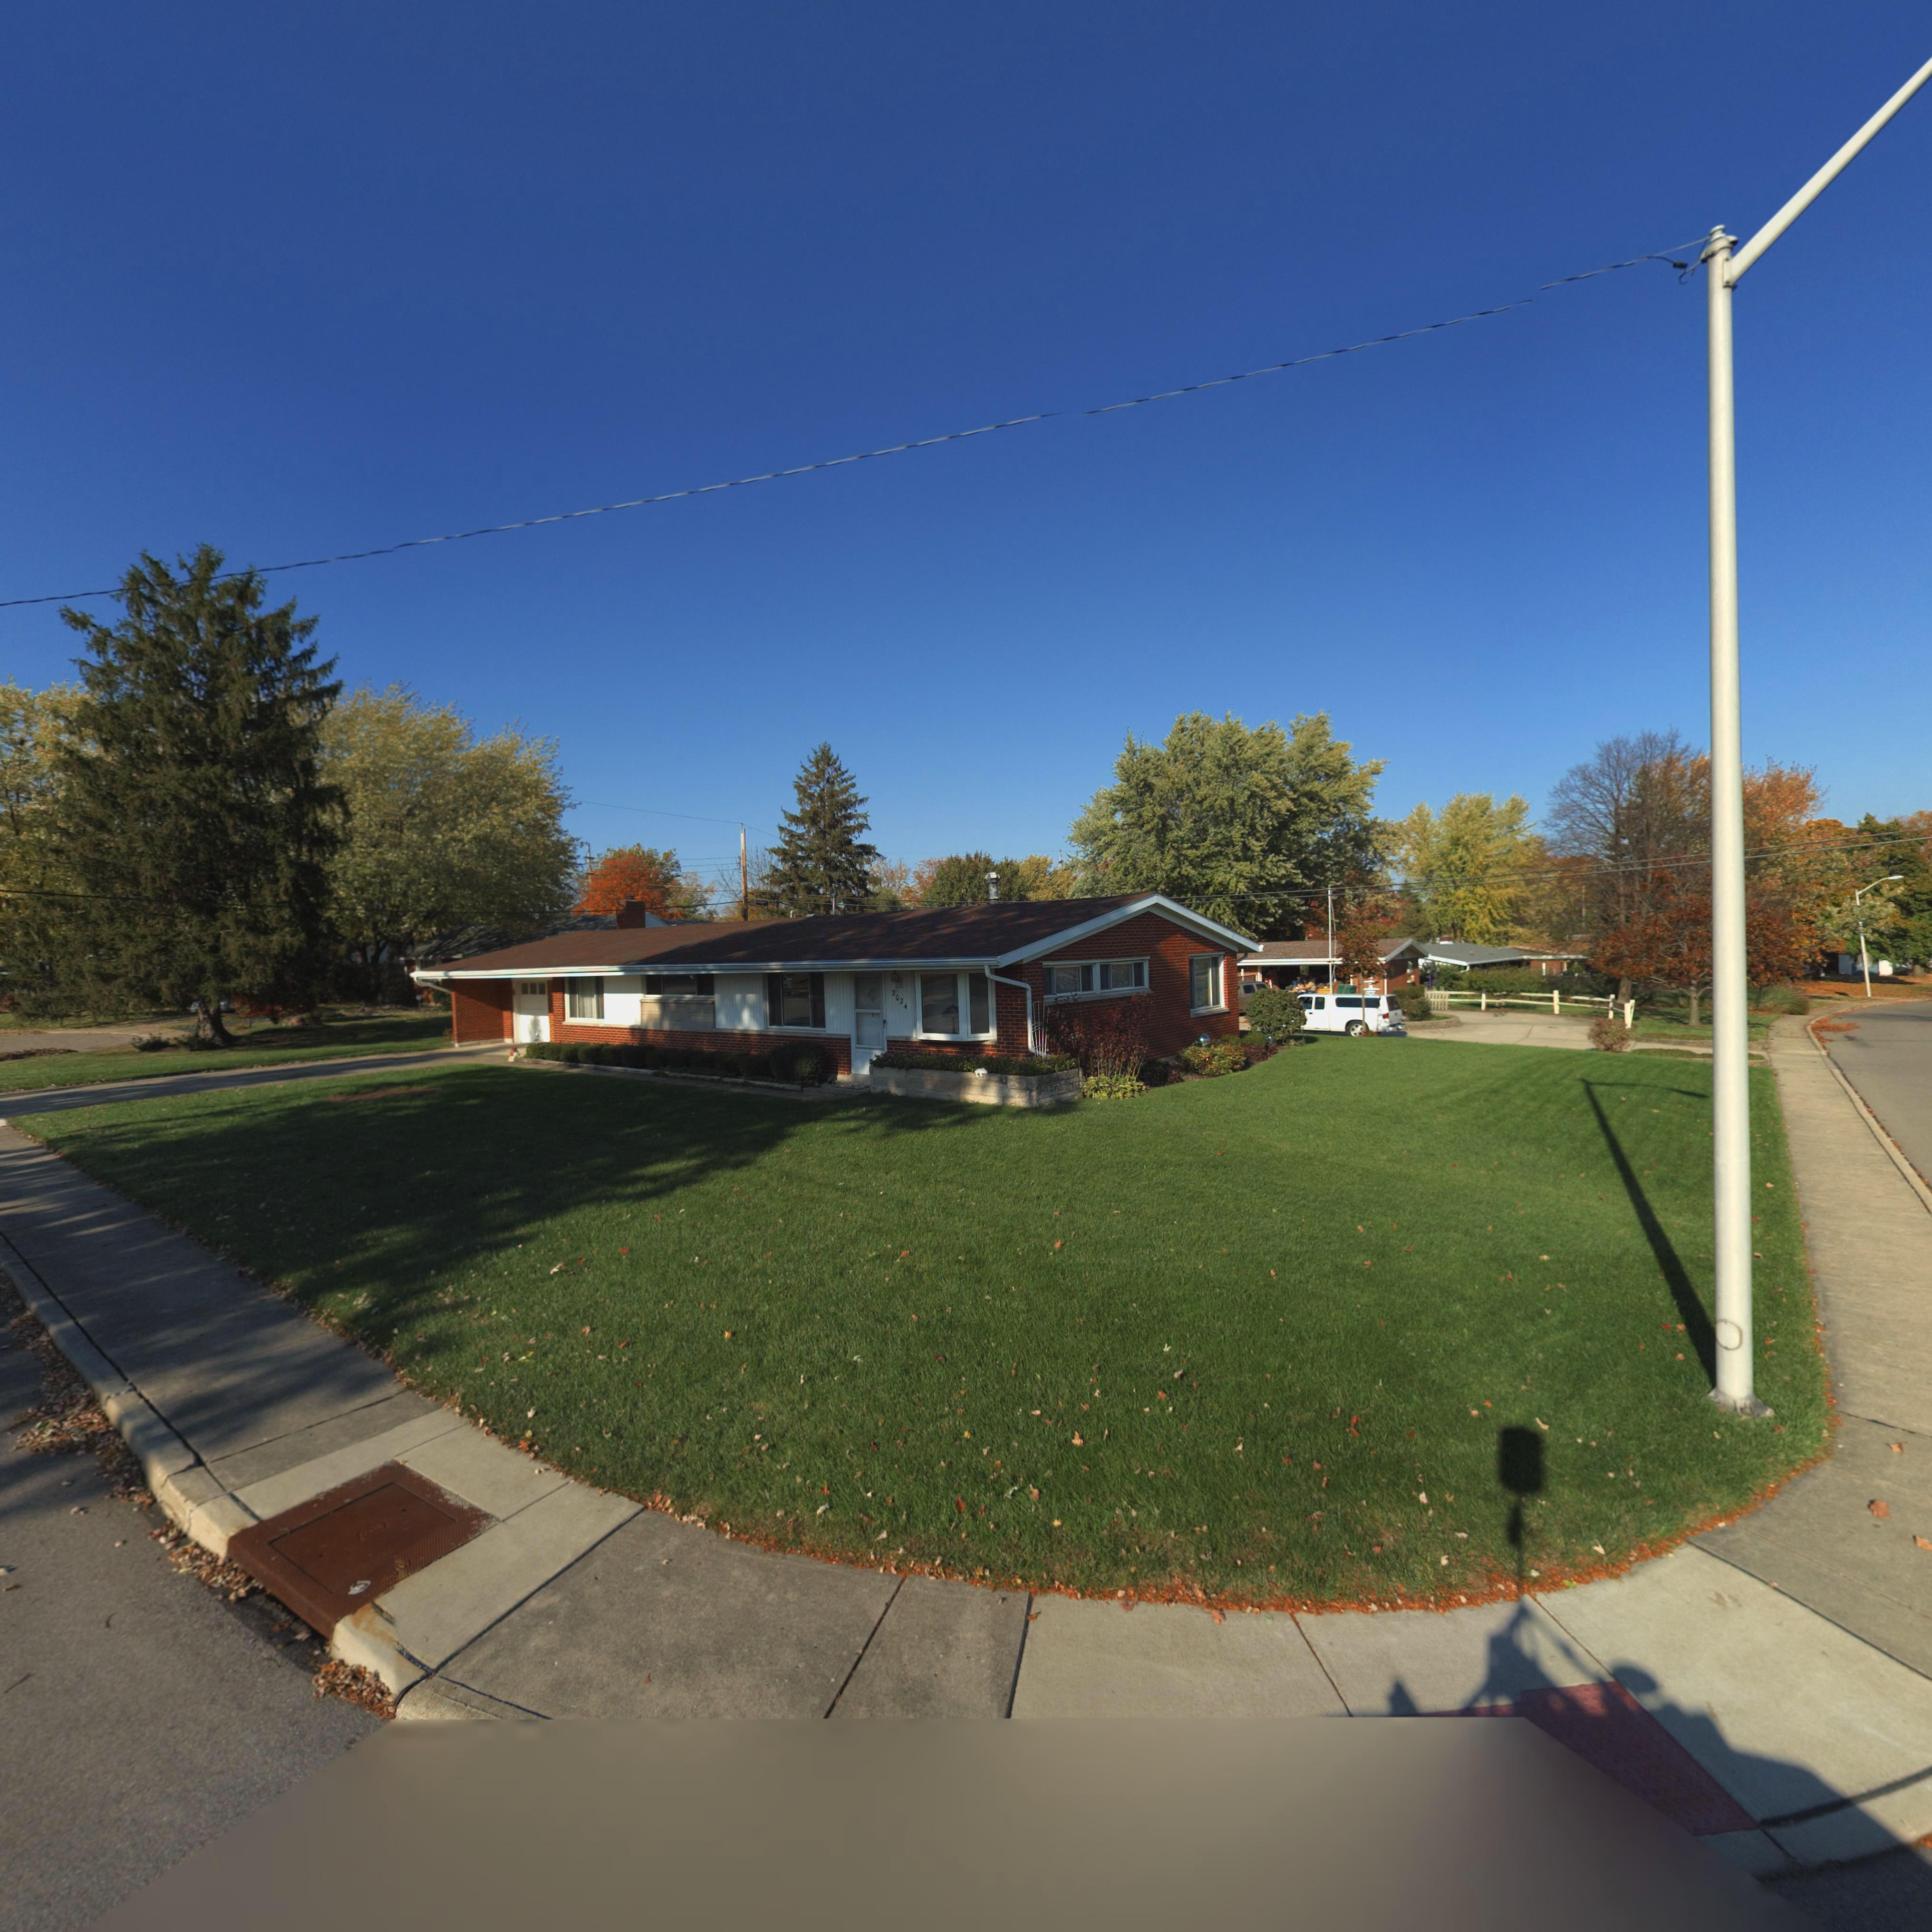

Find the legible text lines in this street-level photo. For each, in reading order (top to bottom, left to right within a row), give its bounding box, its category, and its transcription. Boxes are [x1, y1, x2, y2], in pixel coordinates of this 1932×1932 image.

[891, 989, 908, 1010] StreetNumber: 3024